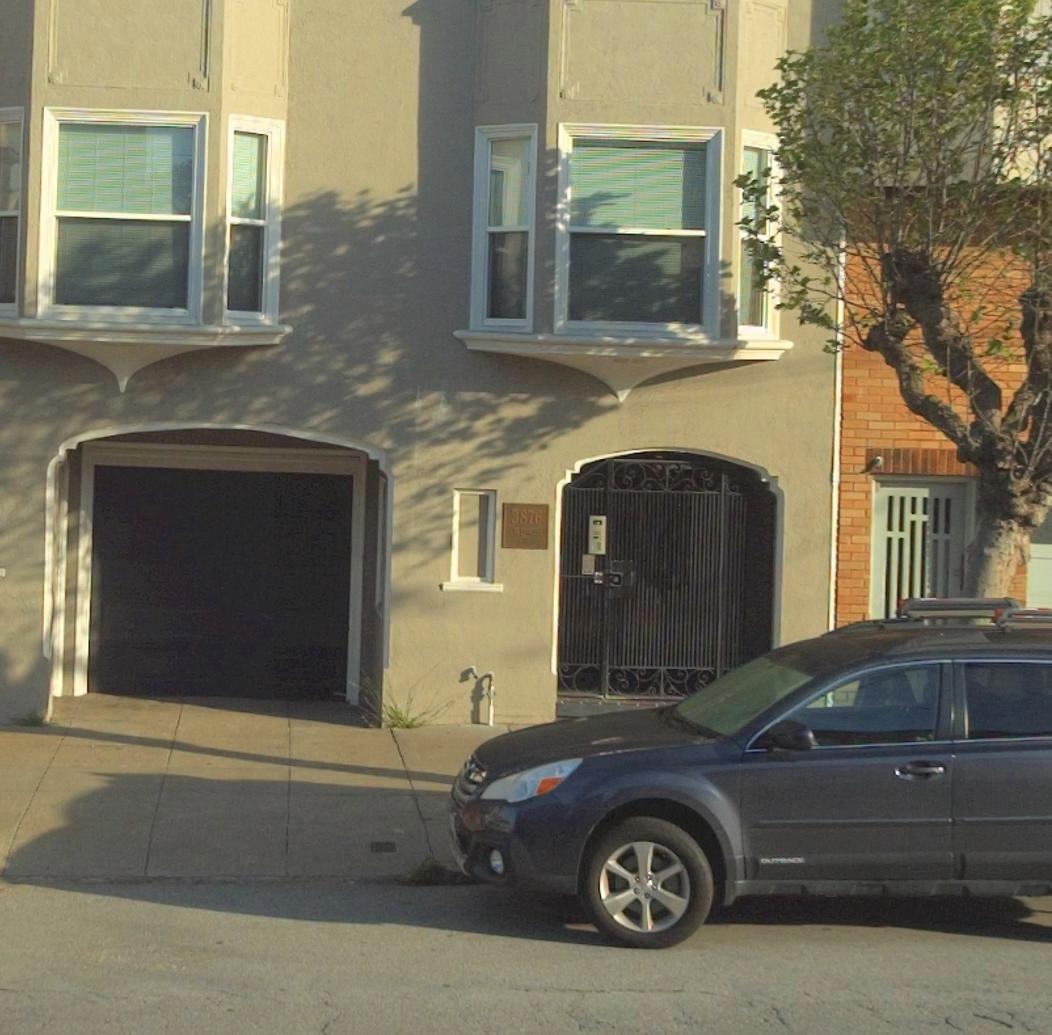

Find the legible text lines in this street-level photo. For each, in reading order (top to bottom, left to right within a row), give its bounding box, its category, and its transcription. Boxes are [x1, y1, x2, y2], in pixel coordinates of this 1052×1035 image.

[509, 507, 544, 527] StreetNumber: 3876